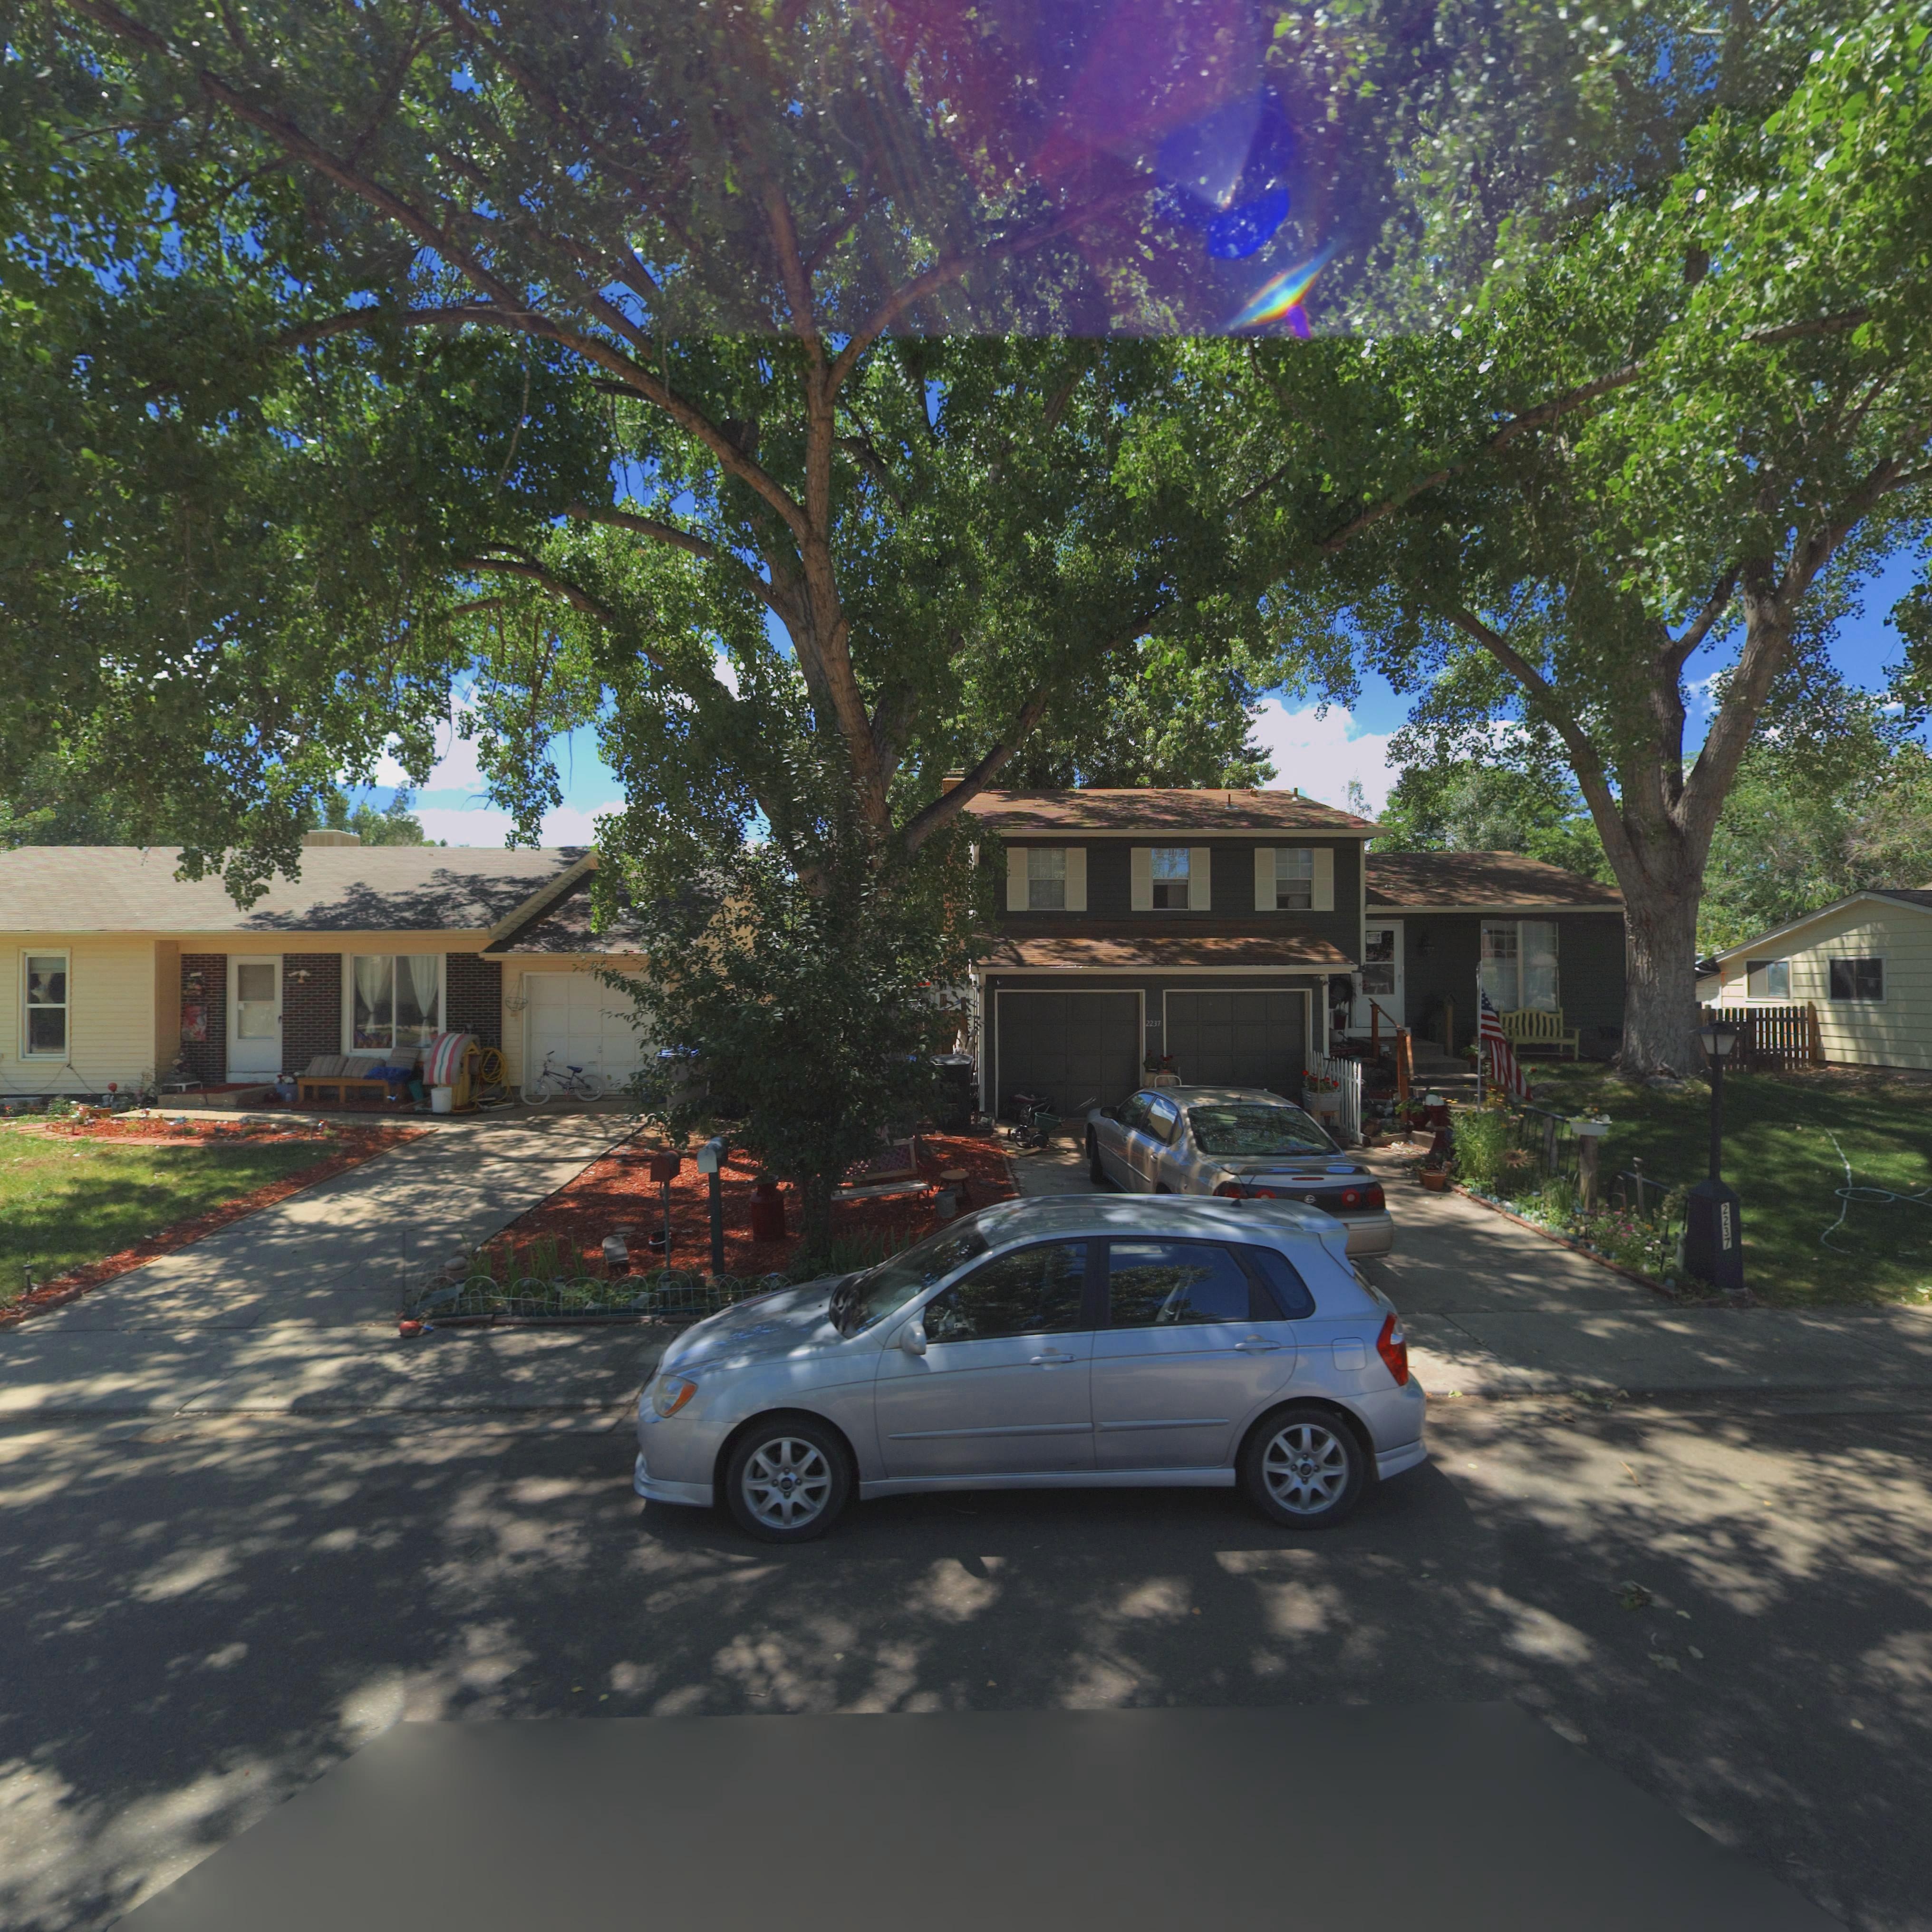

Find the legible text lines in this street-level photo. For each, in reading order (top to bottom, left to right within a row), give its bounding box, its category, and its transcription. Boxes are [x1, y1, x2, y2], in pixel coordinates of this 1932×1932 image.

[1145, 1020, 1161, 1027] StreetNumber: 2237
[1722, 1204, 1730, 1249] StreetNumber: 2237